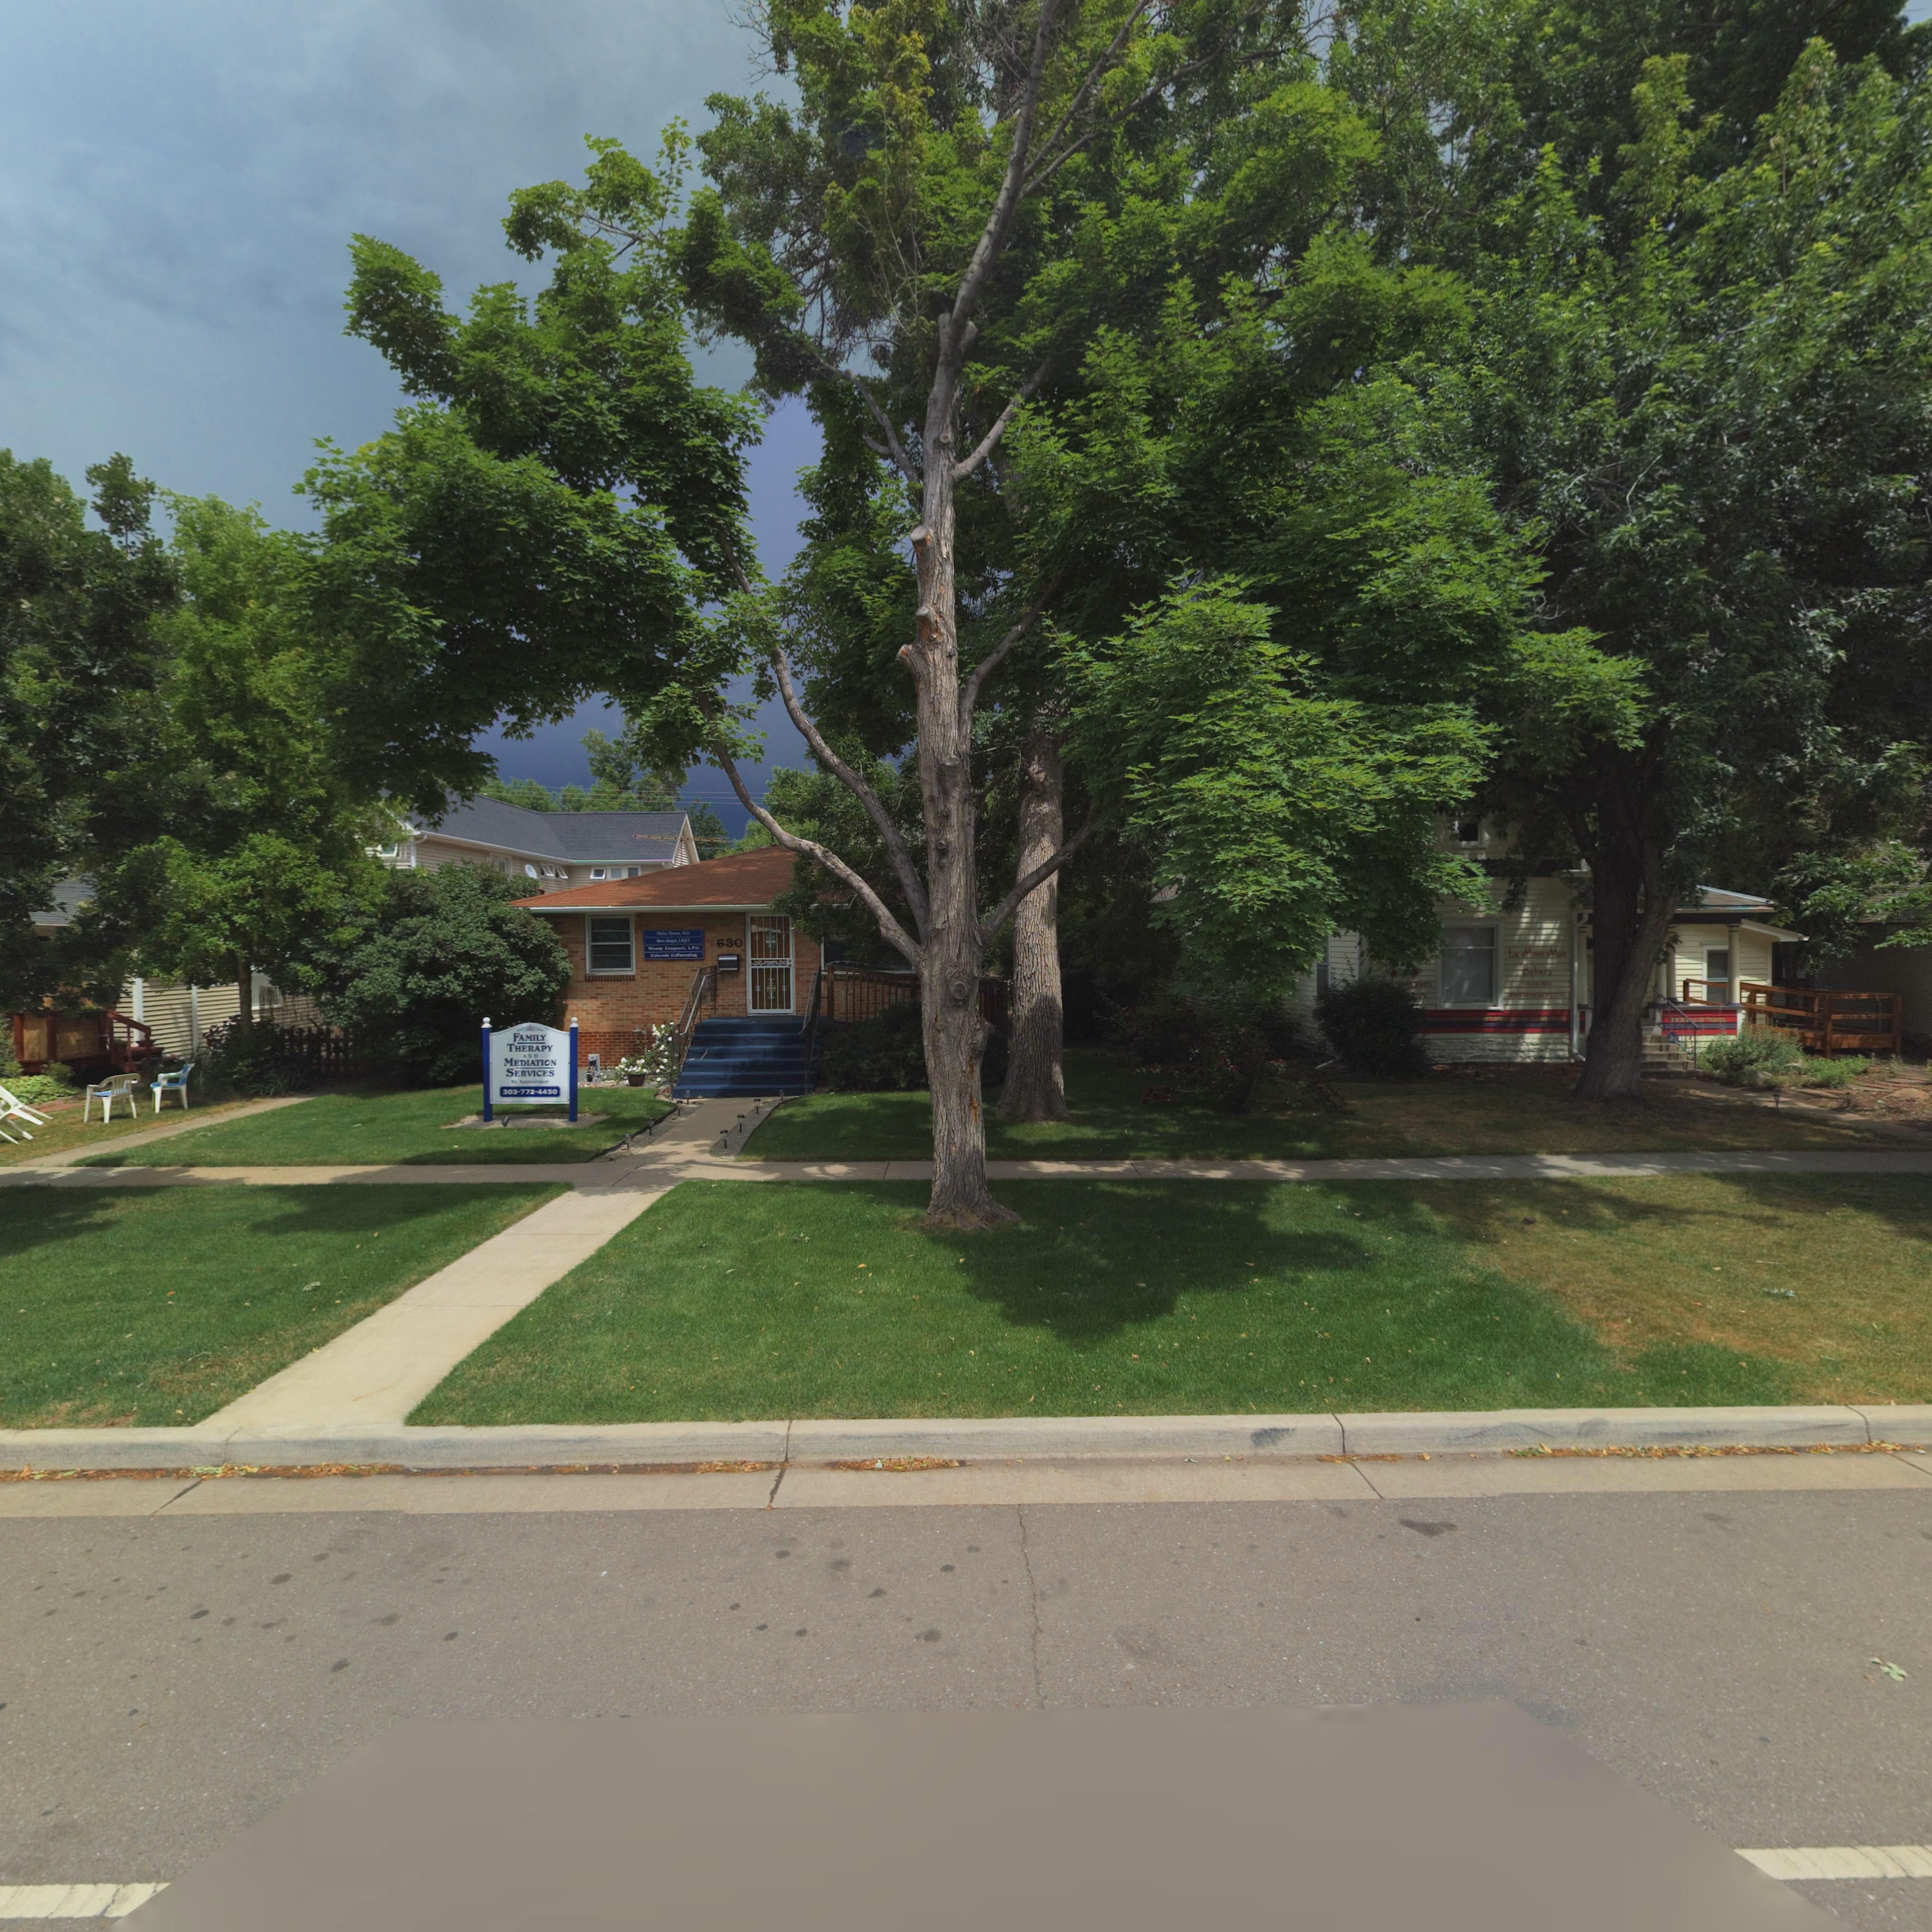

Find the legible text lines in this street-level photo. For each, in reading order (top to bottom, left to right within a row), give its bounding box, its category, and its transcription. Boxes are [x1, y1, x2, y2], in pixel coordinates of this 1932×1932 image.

[716, 937, 743, 948] StreetNumber: 630
[1507, 946, 1567, 958] BusinessName: La Momo Maes
[1523, 964, 1554, 976] BusinessName: Bakery
[512, 1032, 547, 1043] BusinessName: FAMILY
[506, 1043, 553, 1052] BusinessName: THERAPY
[503, 1057, 557, 1066] BusinessName: MEDIATION
[505, 1067, 554, 1077] BusinessName: SERVICES